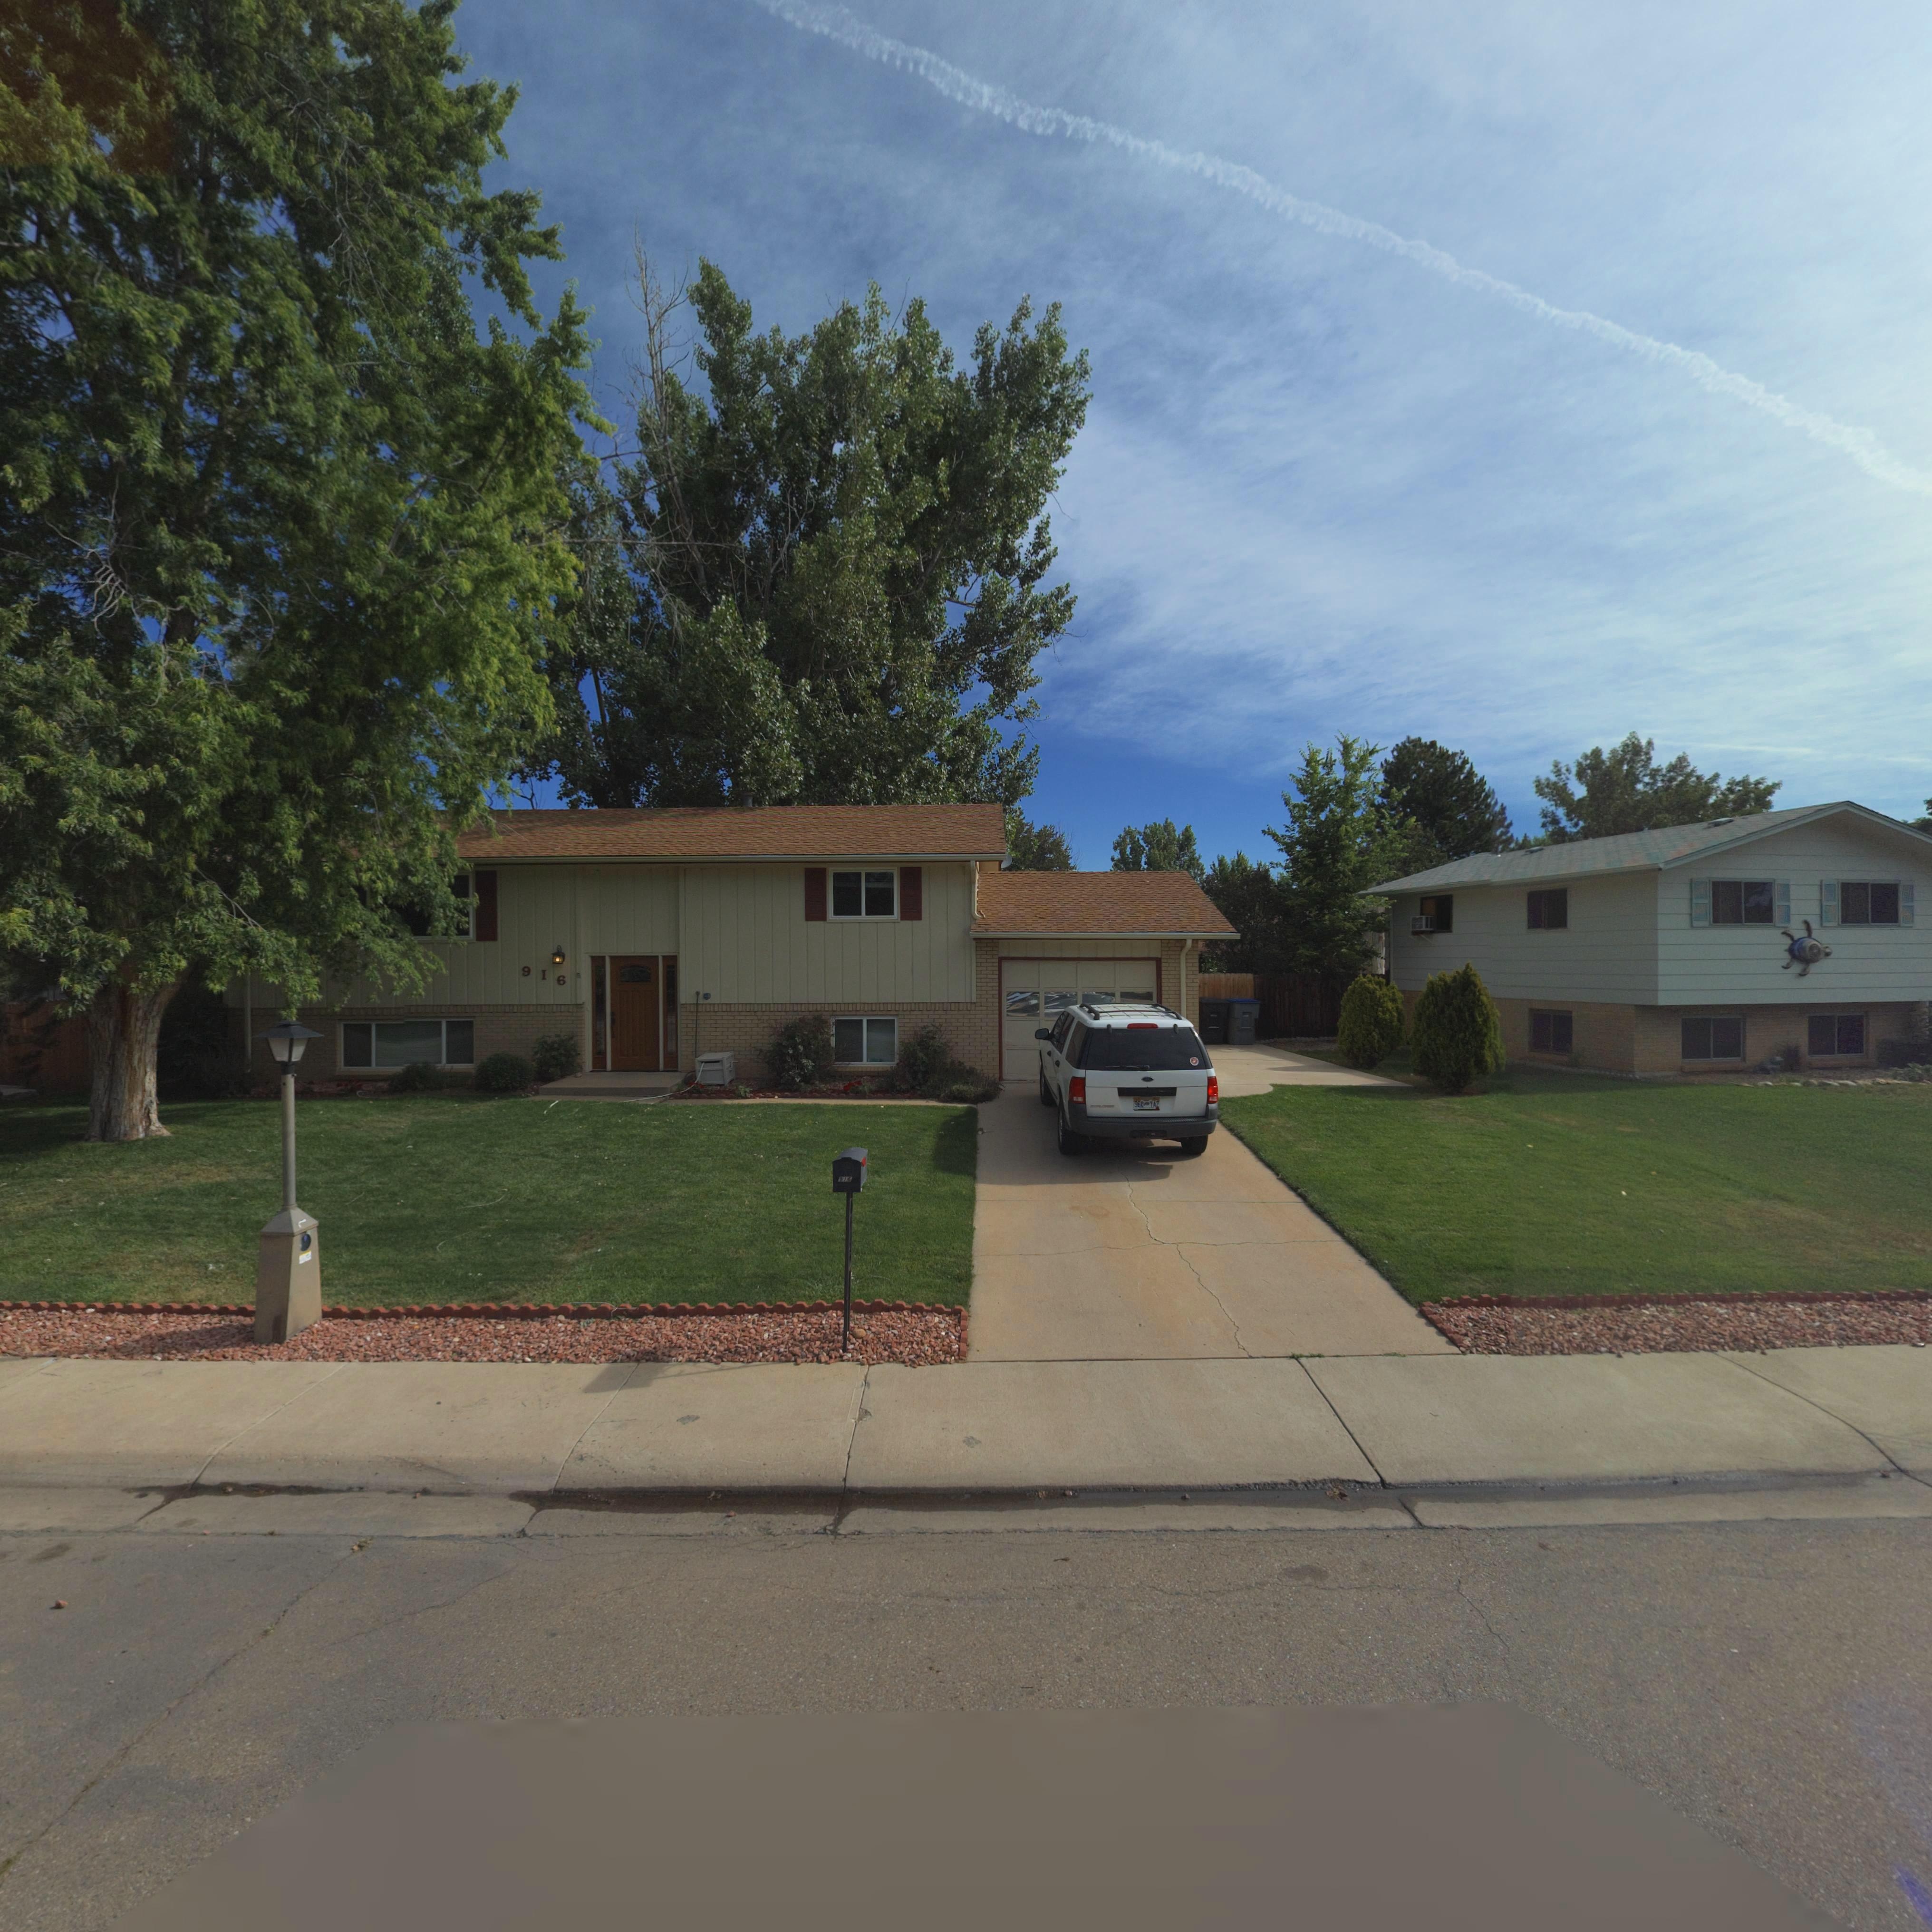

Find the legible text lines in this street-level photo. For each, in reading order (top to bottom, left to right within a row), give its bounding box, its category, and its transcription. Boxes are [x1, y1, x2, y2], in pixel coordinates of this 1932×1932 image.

[521, 964, 567, 986] StreetNumber: 916
[838, 1176, 852, 1181] StreetNumber: 916